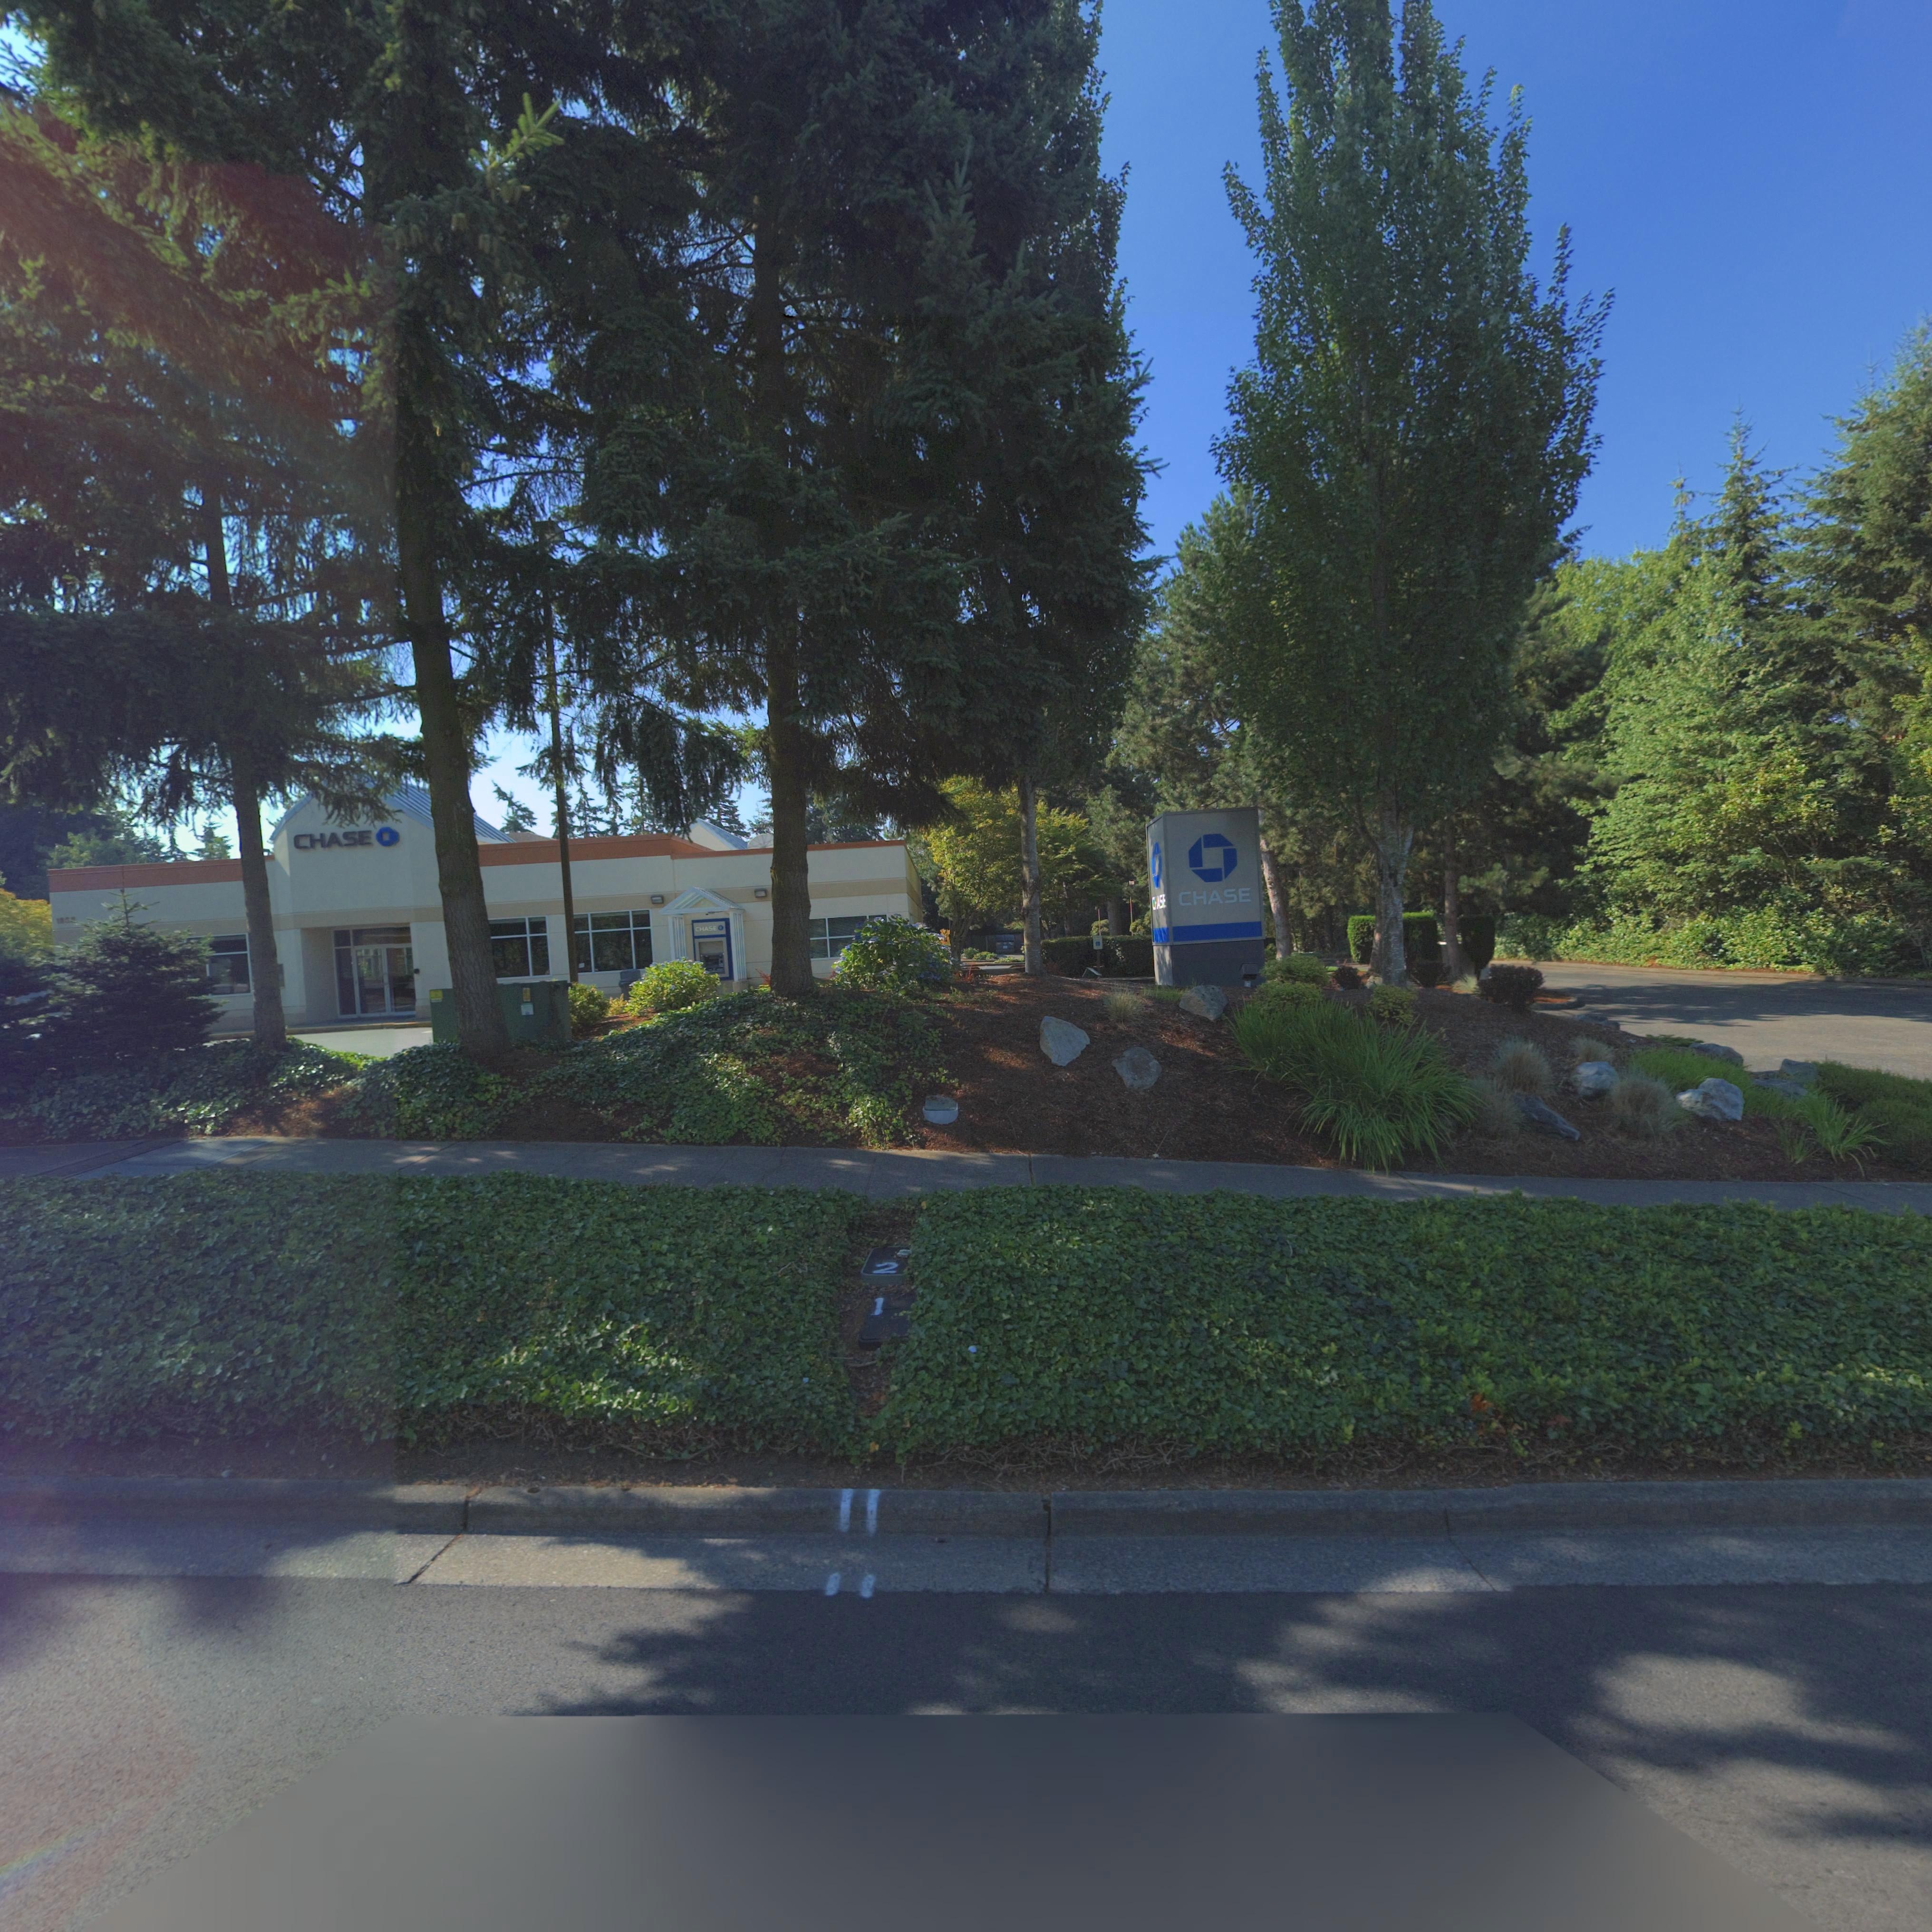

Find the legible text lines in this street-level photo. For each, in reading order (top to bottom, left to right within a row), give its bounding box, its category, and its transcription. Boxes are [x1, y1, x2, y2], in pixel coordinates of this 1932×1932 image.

[294, 831, 371, 849] BusinessName: CHASE
[1155, 893, 1167, 909] BusinessName: ASE
[1178, 886, 1251, 906] BusinessName: CHASE
[695, 926, 717, 931] BusinessName: CHASE